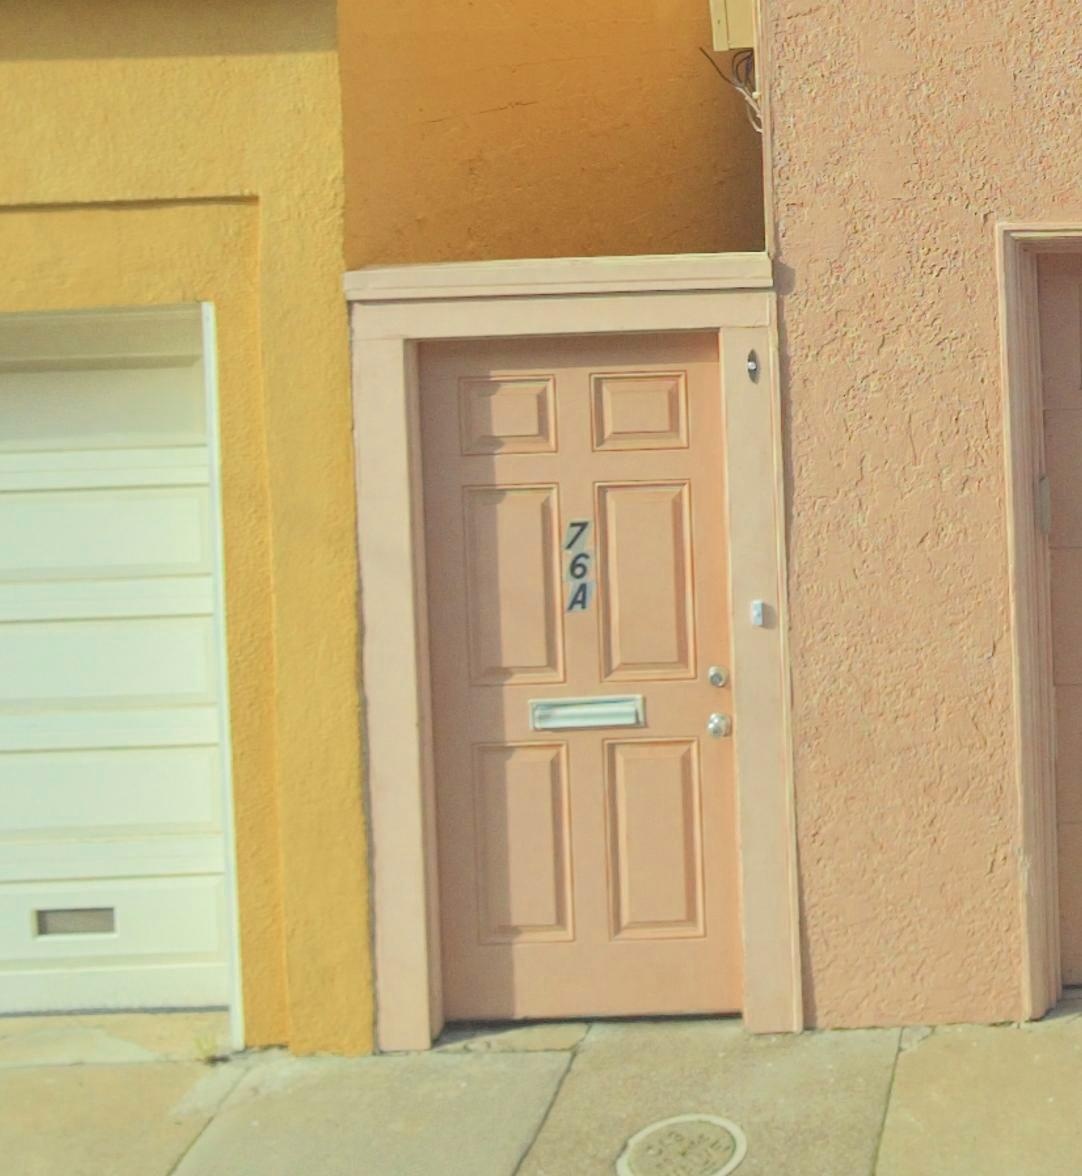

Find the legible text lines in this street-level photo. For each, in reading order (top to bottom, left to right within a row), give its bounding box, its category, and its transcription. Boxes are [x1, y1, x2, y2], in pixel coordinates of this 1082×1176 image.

[562, 519, 593, 614] StreetNumber: 76A